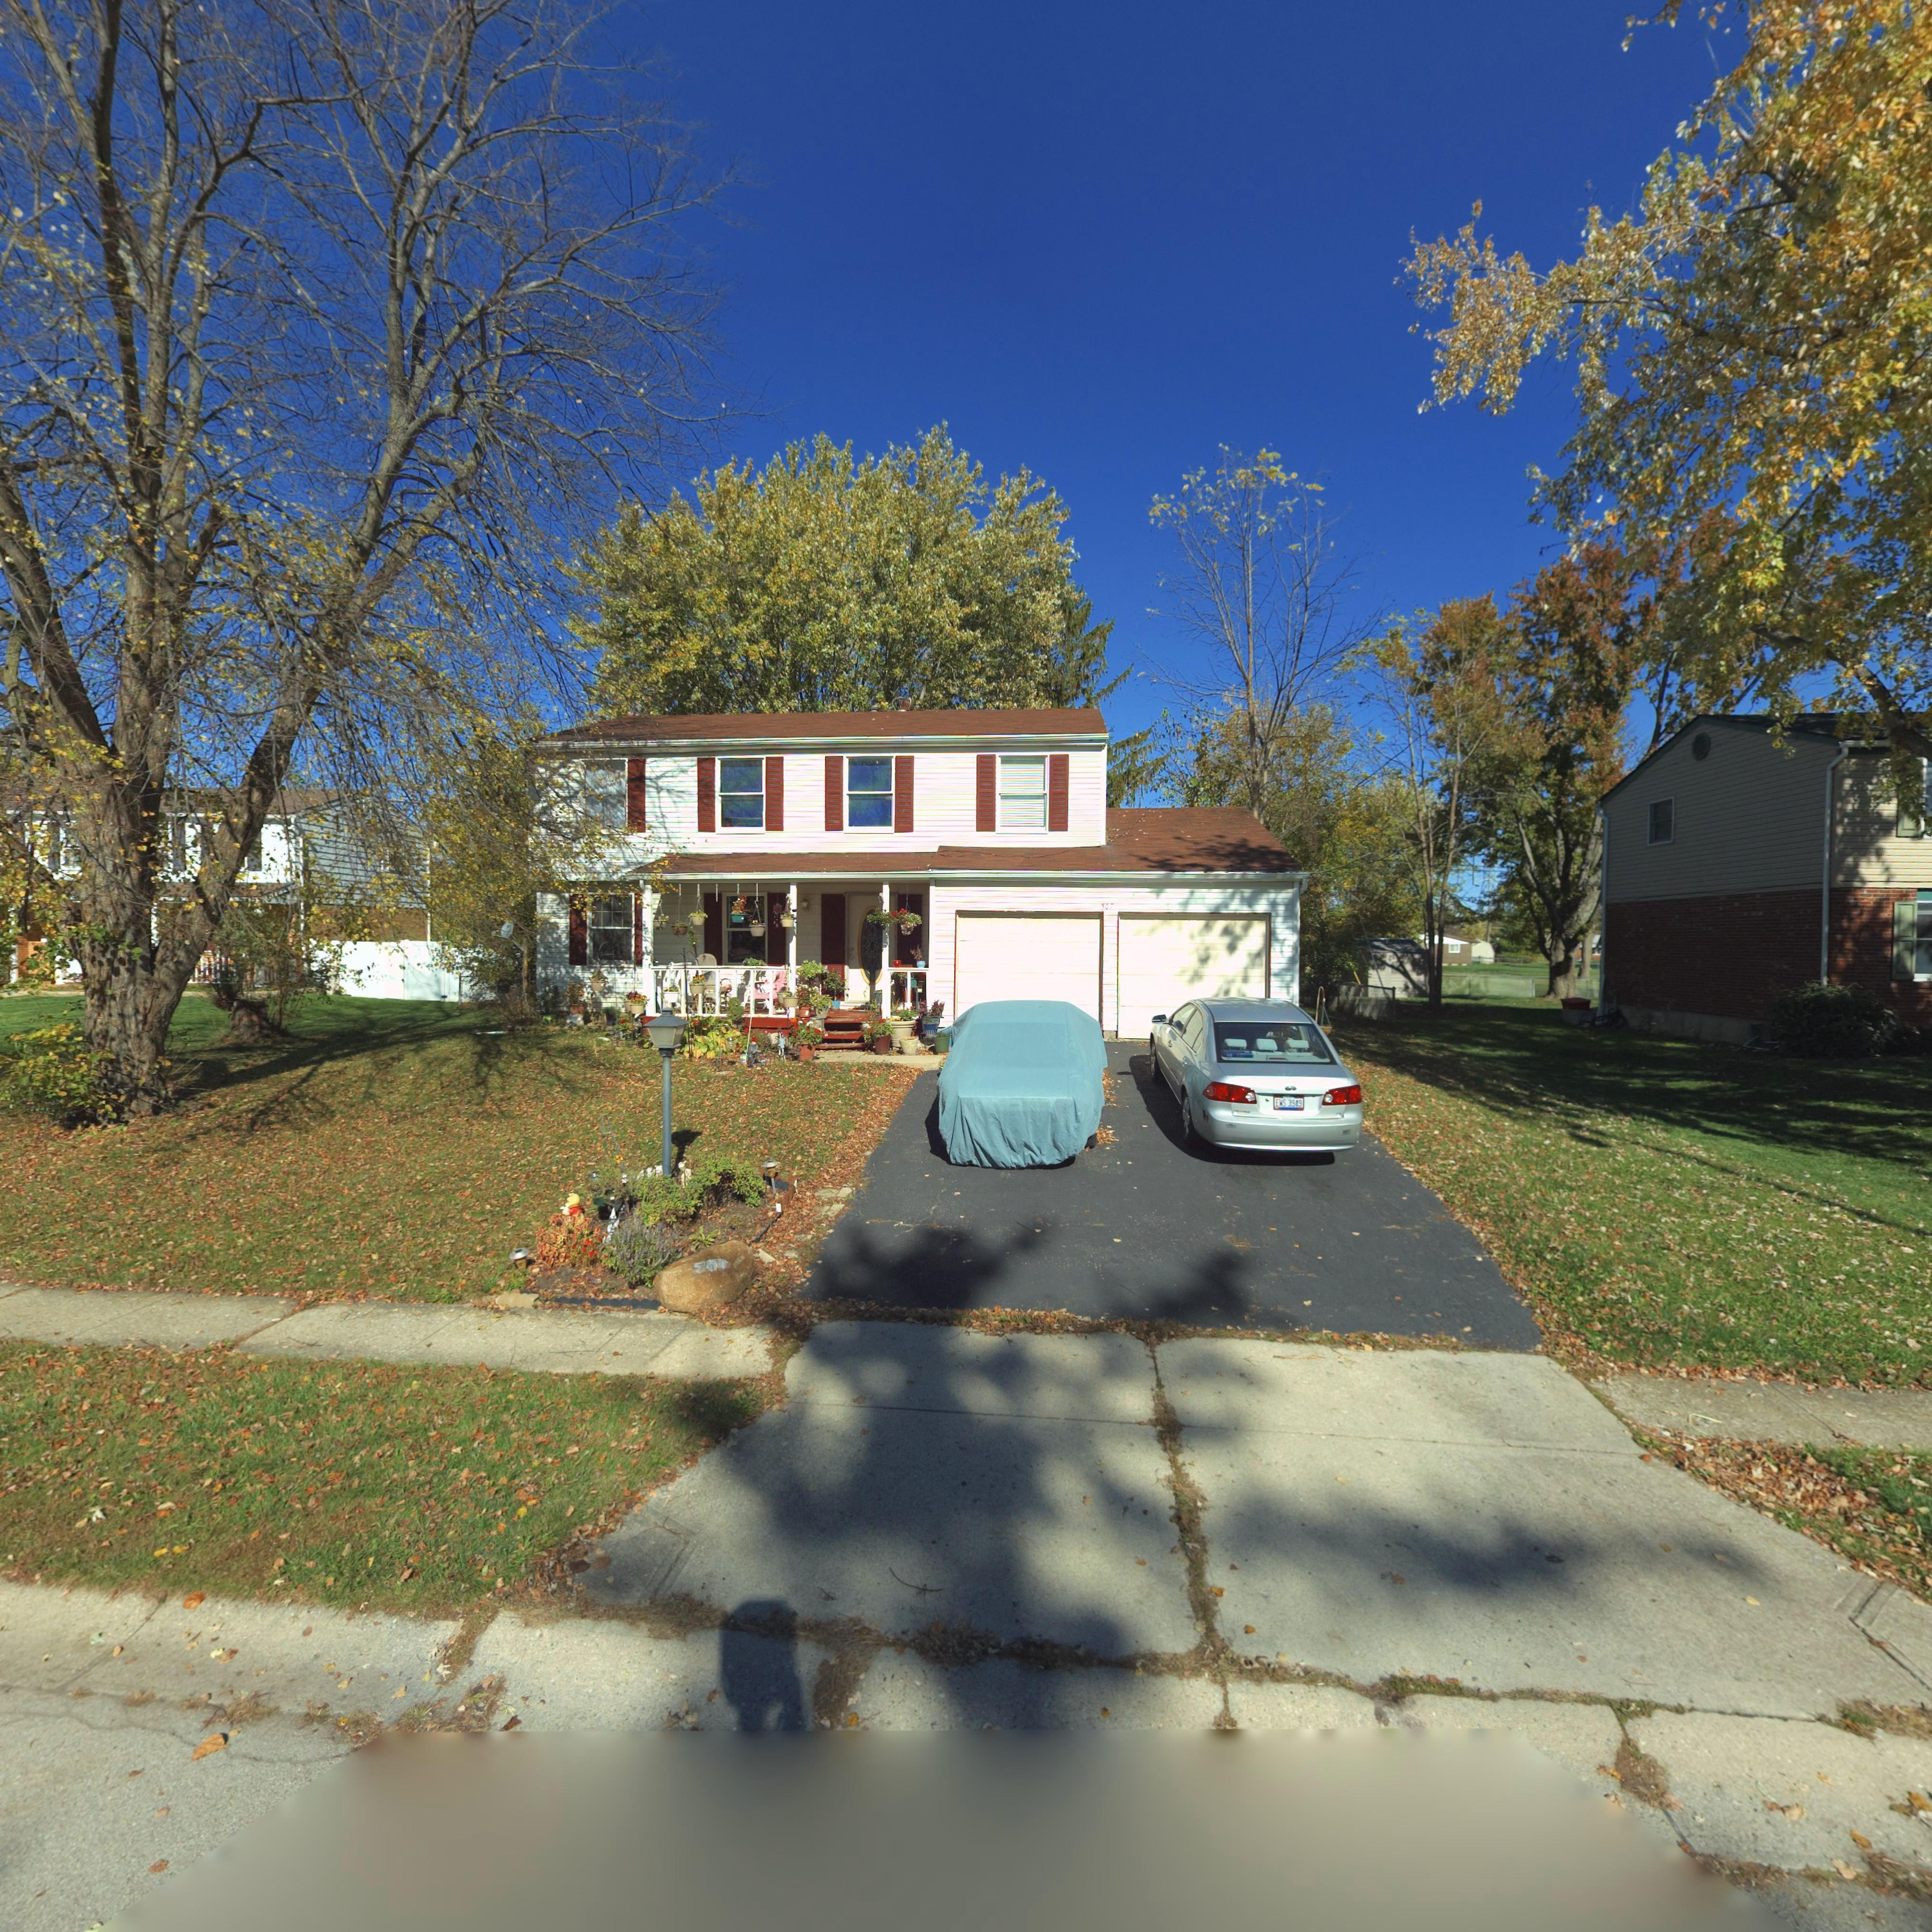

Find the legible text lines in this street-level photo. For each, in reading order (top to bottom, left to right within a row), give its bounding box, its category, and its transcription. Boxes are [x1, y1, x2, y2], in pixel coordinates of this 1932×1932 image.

[1100, 902, 1116, 911] StreetNumber: 507